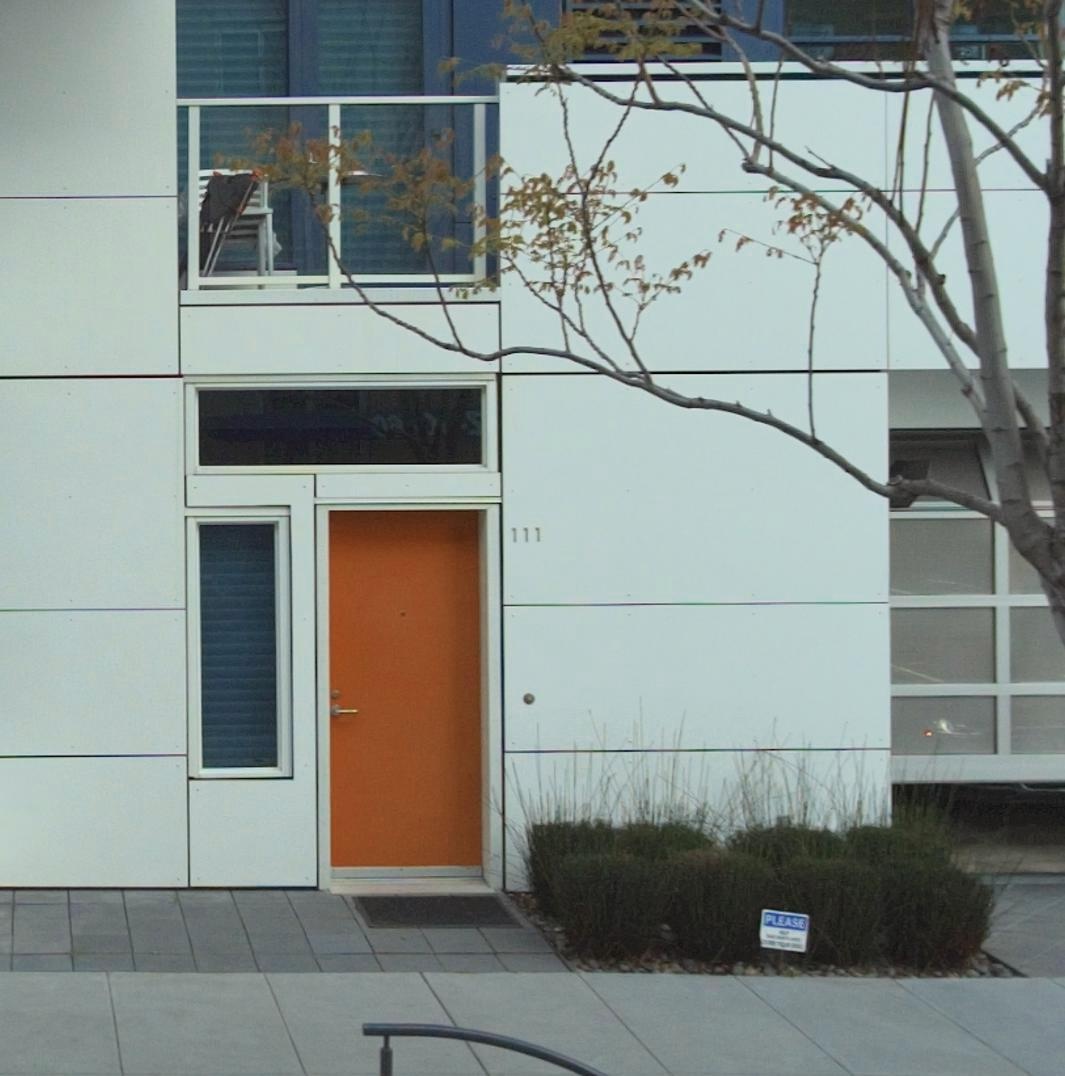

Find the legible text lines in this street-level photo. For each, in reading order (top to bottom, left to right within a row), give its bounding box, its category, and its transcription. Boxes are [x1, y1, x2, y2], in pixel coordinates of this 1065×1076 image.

[508, 524, 543, 546] StreetNumber: 111
[762, 911, 807, 932] None: PLEASE